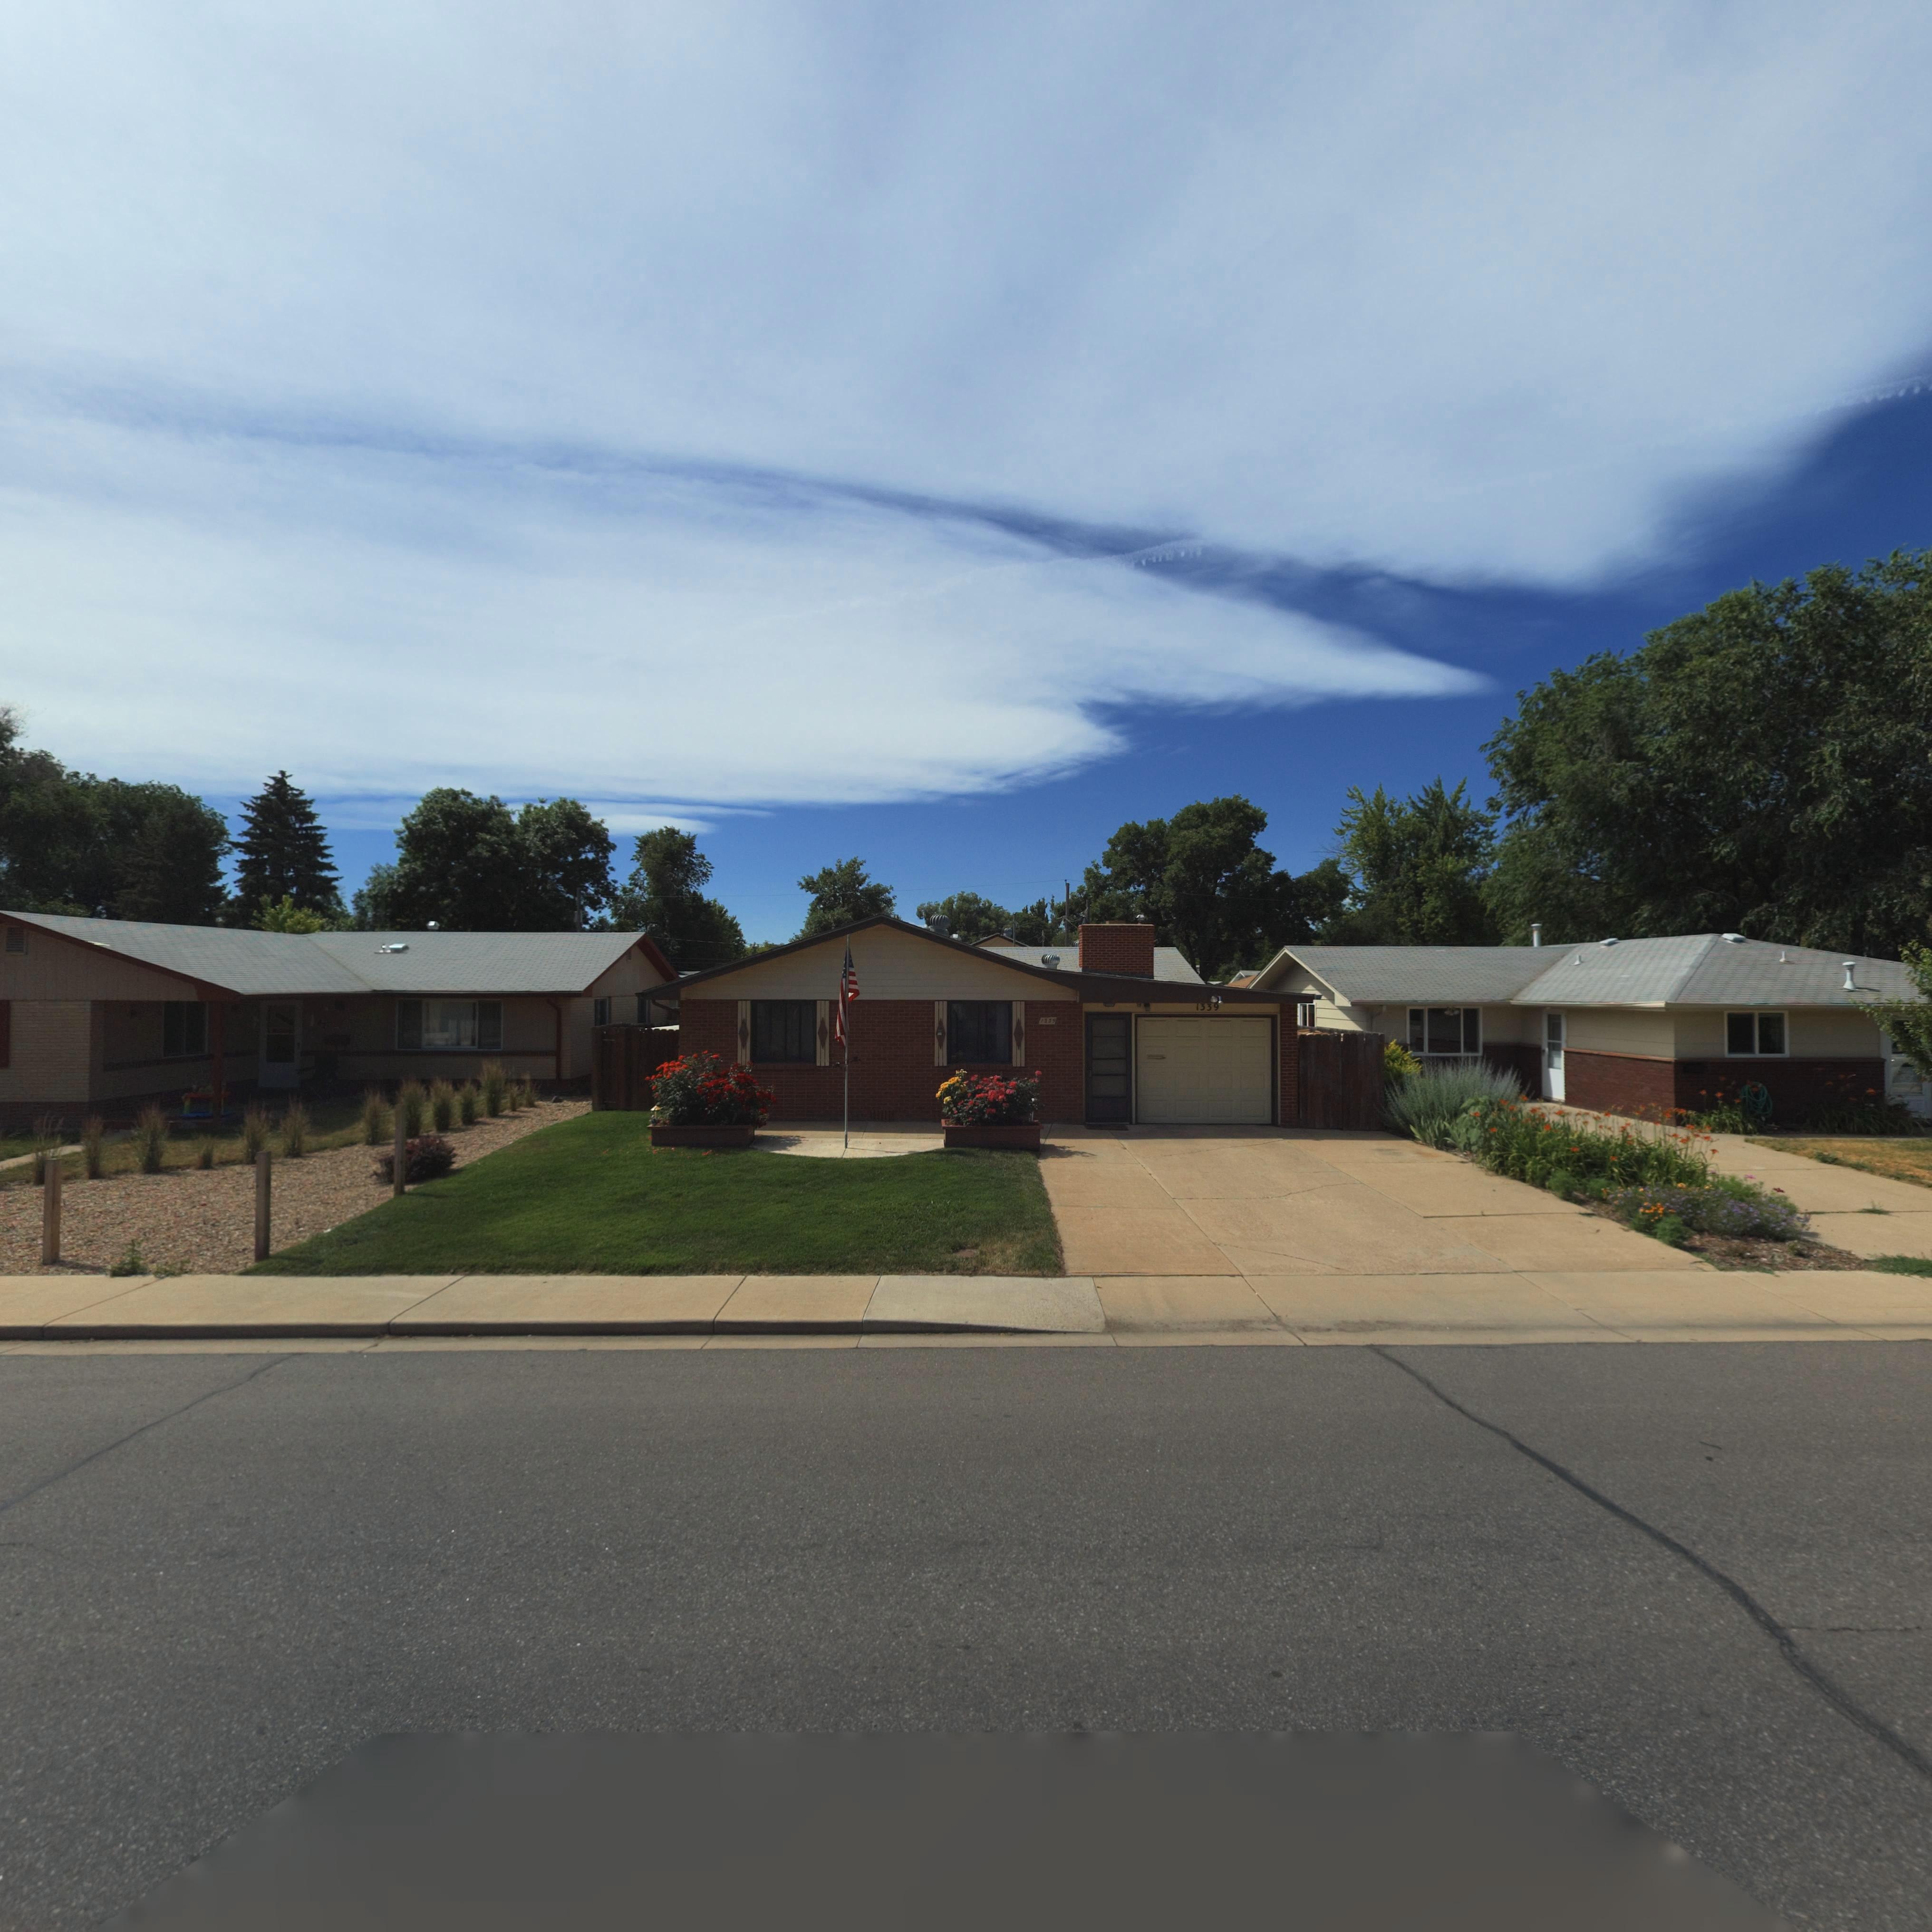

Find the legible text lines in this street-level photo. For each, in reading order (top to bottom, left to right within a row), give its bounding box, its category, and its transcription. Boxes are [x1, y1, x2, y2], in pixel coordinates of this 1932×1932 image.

[1196, 1002, 1219, 1011] StreetNumber: 1339
[1039, 1018, 1056, 1024] StreetNumber: 1339